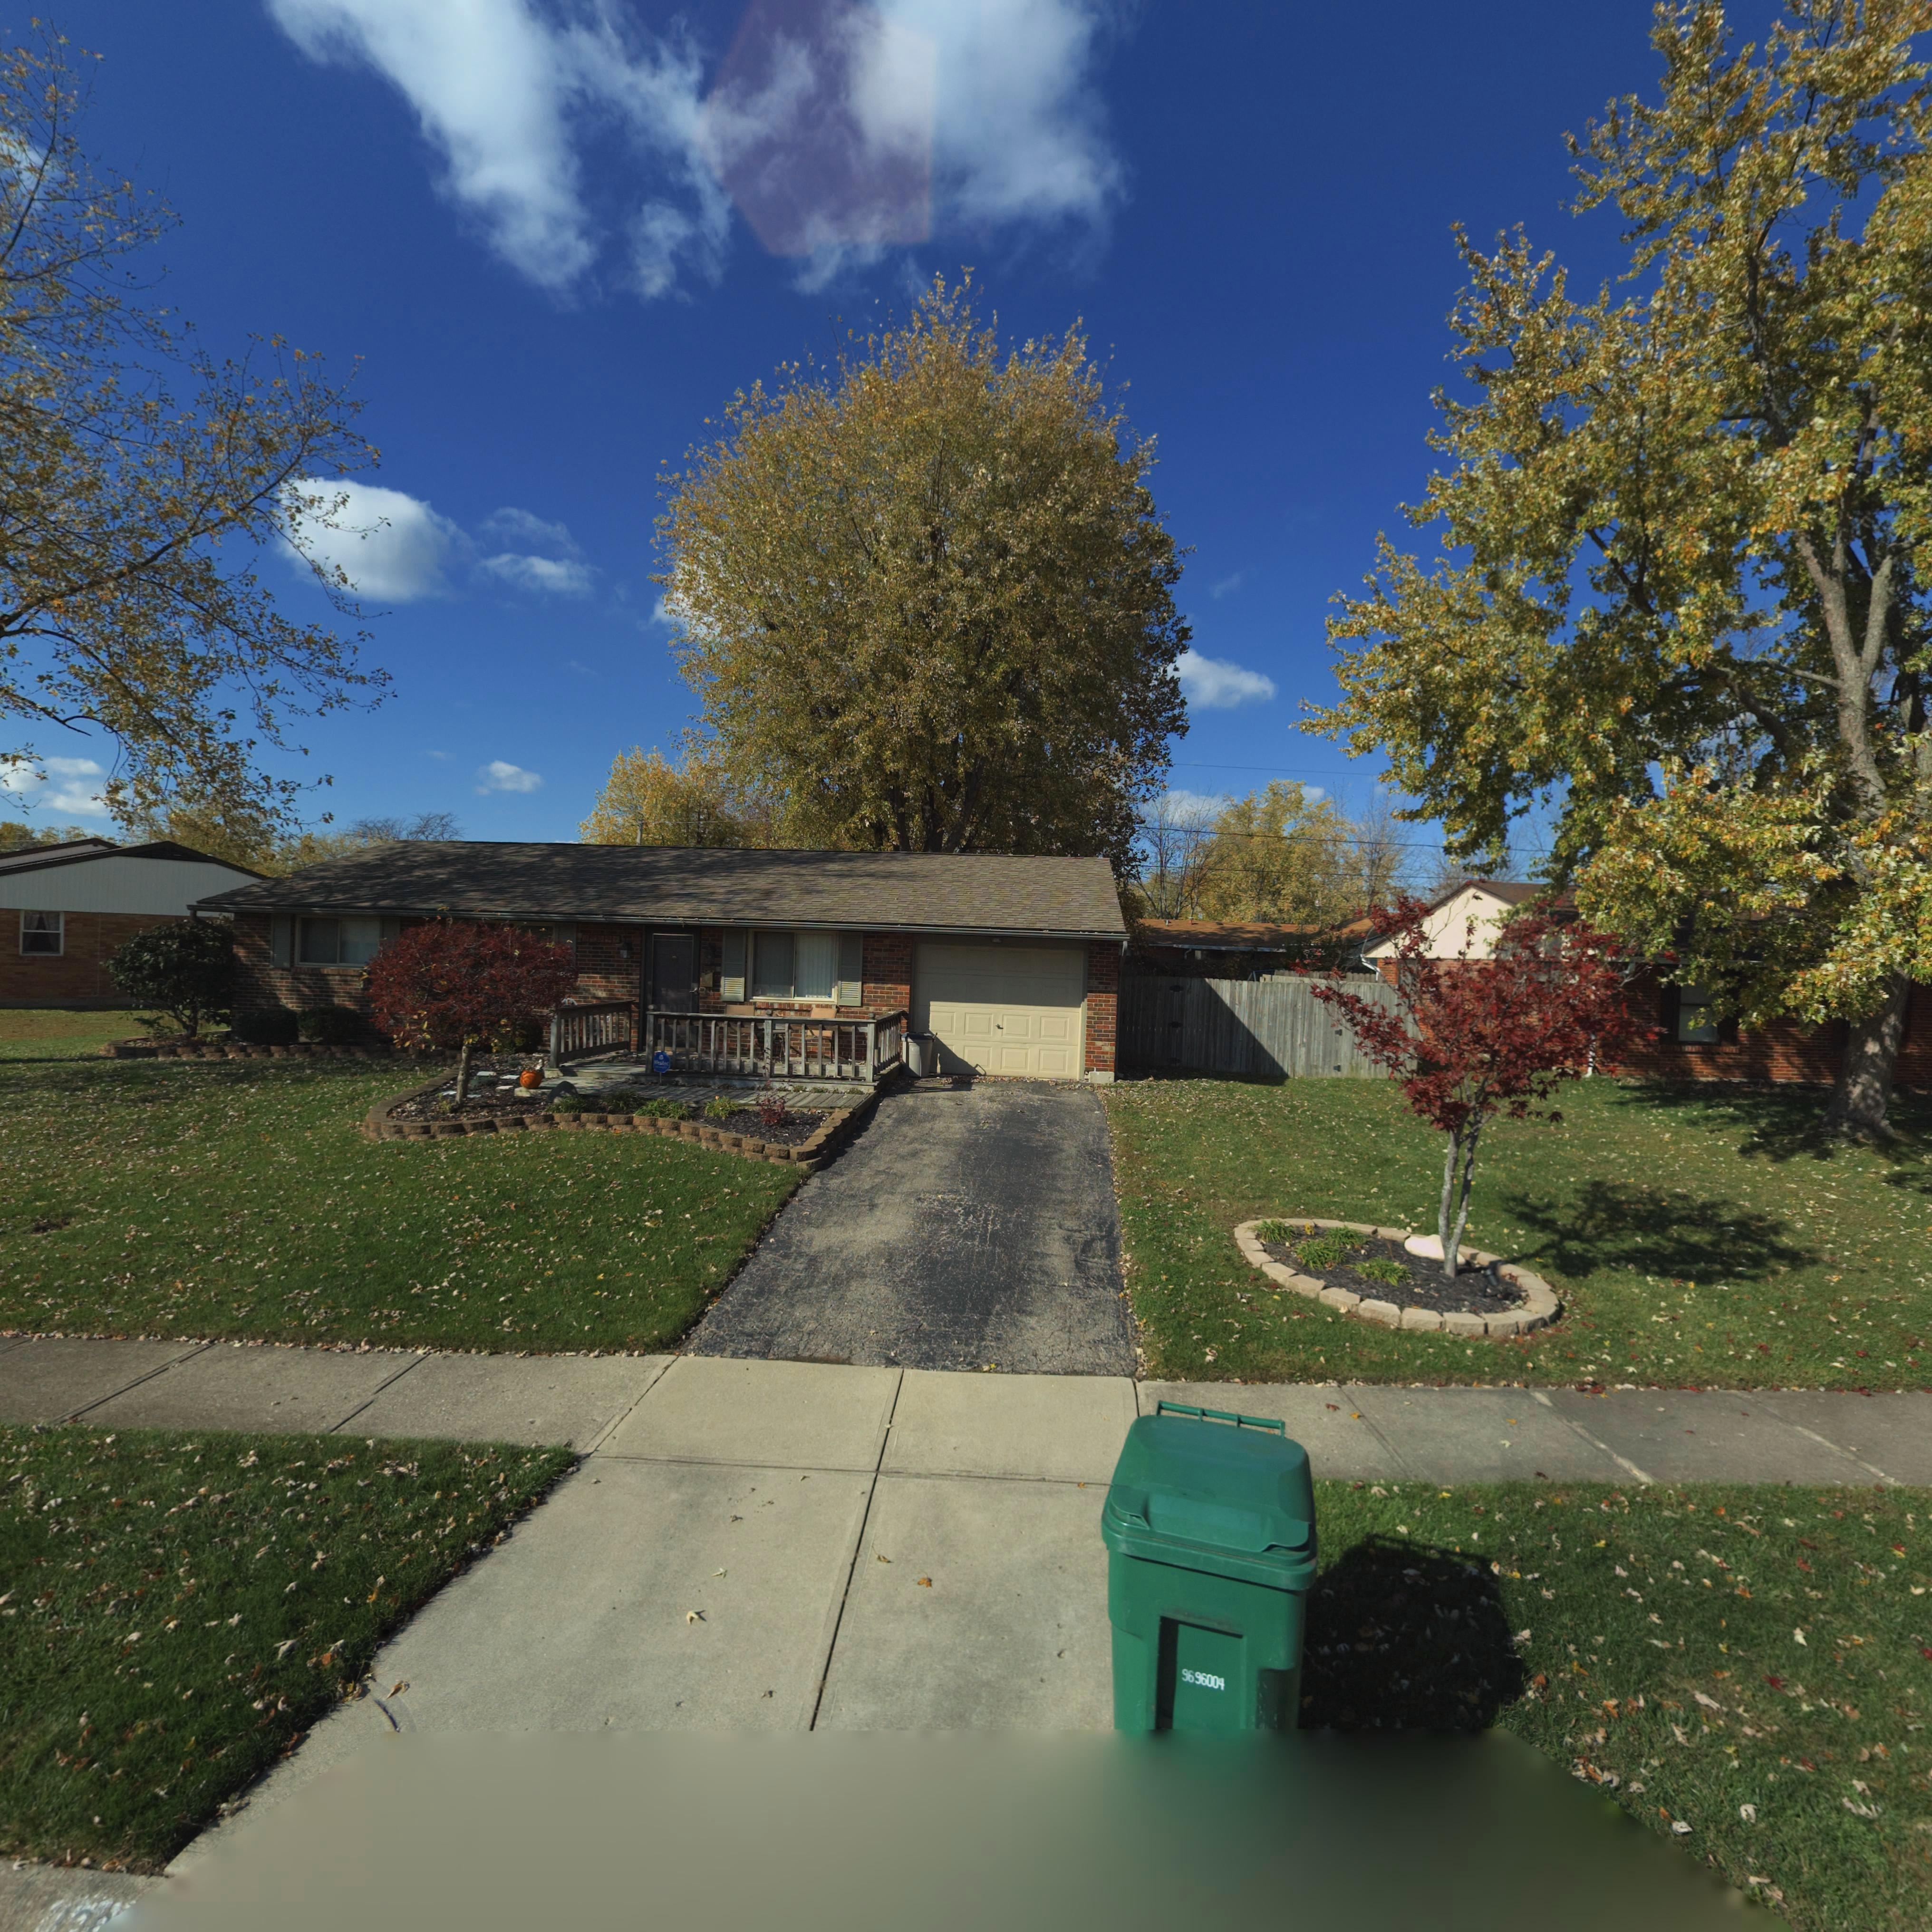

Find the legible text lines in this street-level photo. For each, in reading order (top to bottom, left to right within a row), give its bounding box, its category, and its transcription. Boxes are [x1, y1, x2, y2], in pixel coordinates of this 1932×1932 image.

[580, 933, 612, 944] StreetNumber: **09